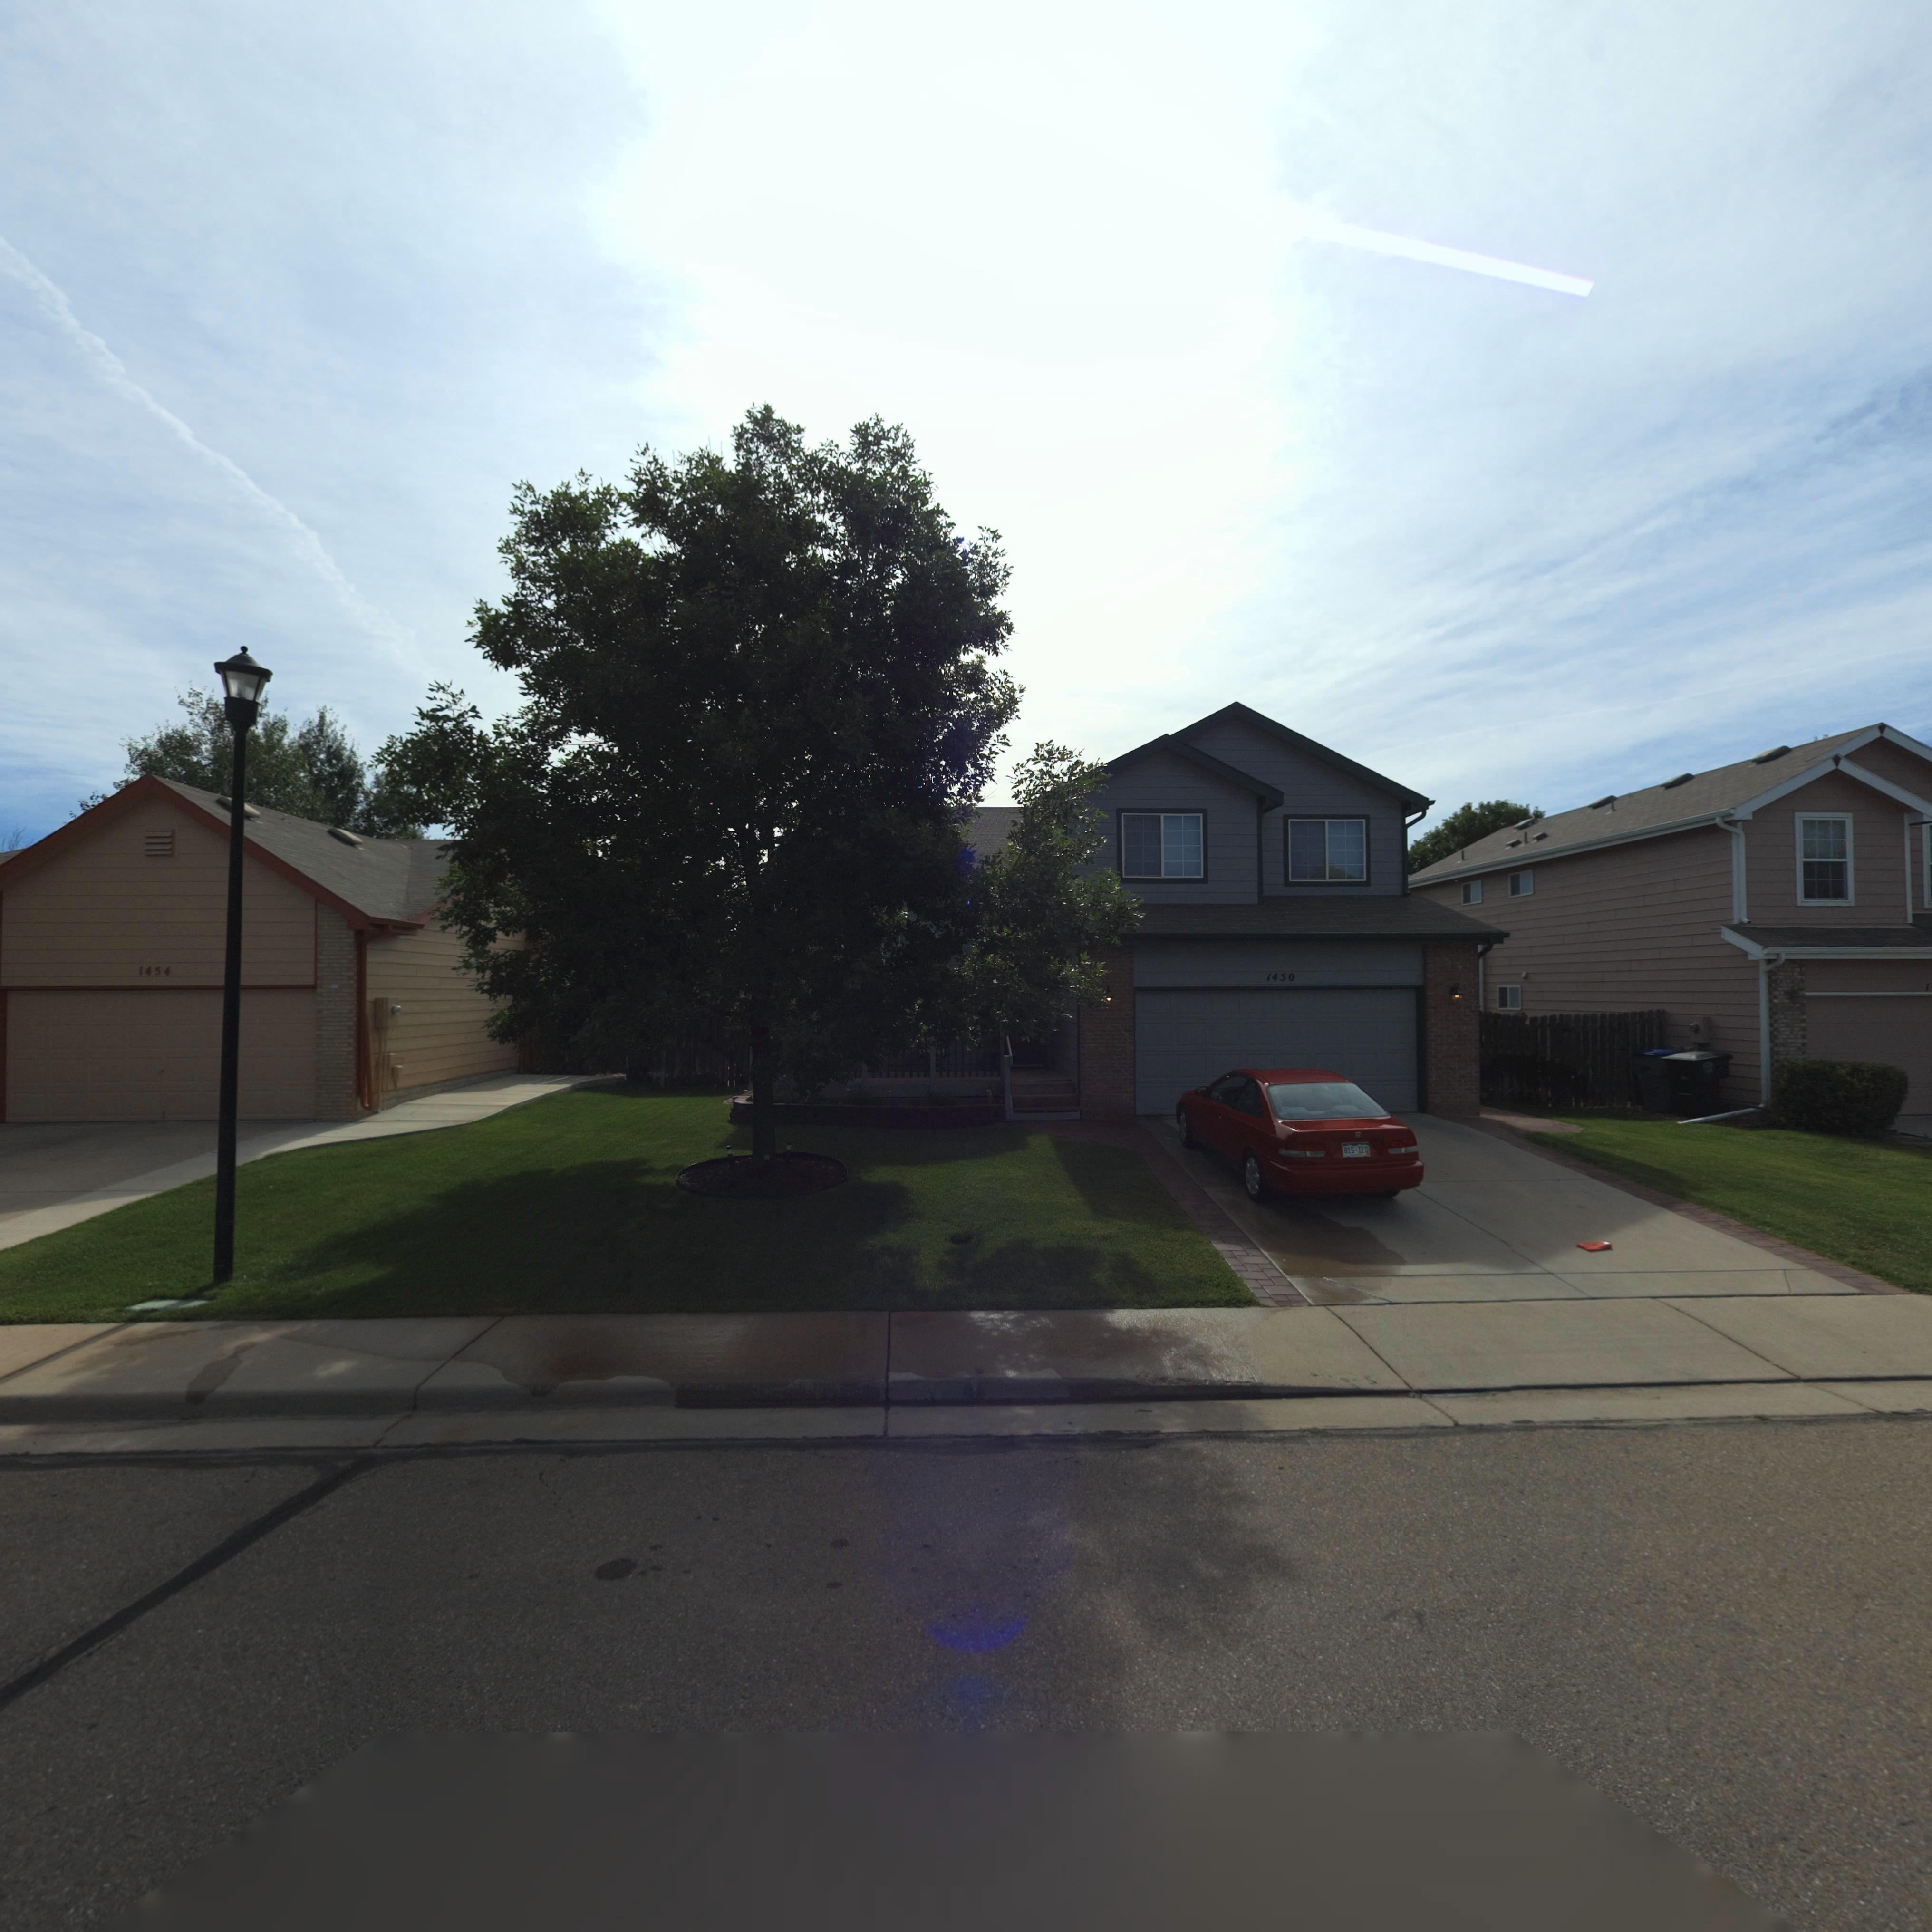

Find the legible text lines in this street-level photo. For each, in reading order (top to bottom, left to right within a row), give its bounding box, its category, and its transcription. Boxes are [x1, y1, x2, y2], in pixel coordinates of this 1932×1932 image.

[136, 965, 172, 976] StreetNumber: 1454
[1266, 972, 1294, 981] StreetNumber: 1450